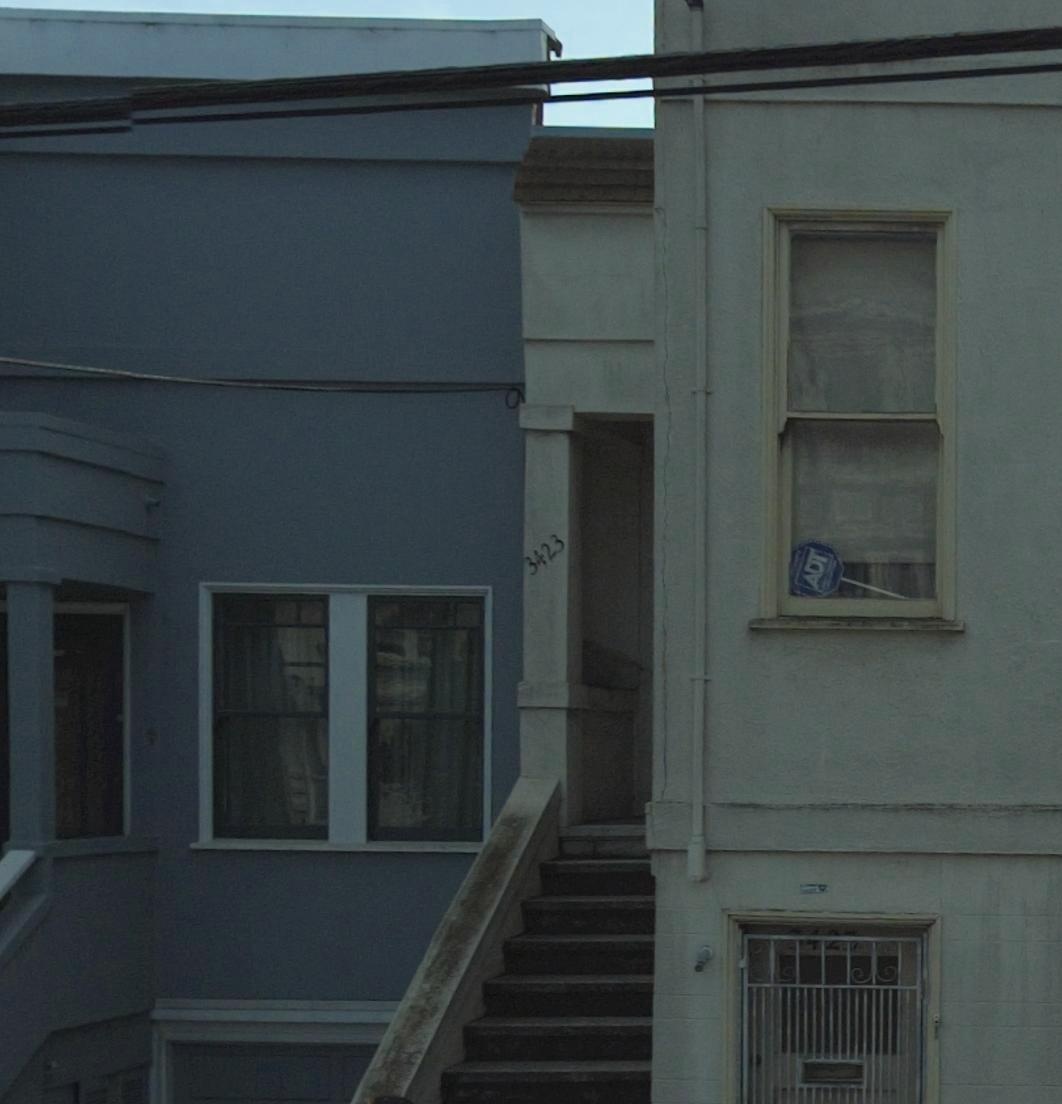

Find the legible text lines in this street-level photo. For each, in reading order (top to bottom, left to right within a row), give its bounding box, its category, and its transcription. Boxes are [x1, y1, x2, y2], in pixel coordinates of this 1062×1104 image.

[523, 531, 569, 578] StreetNumber: 3423